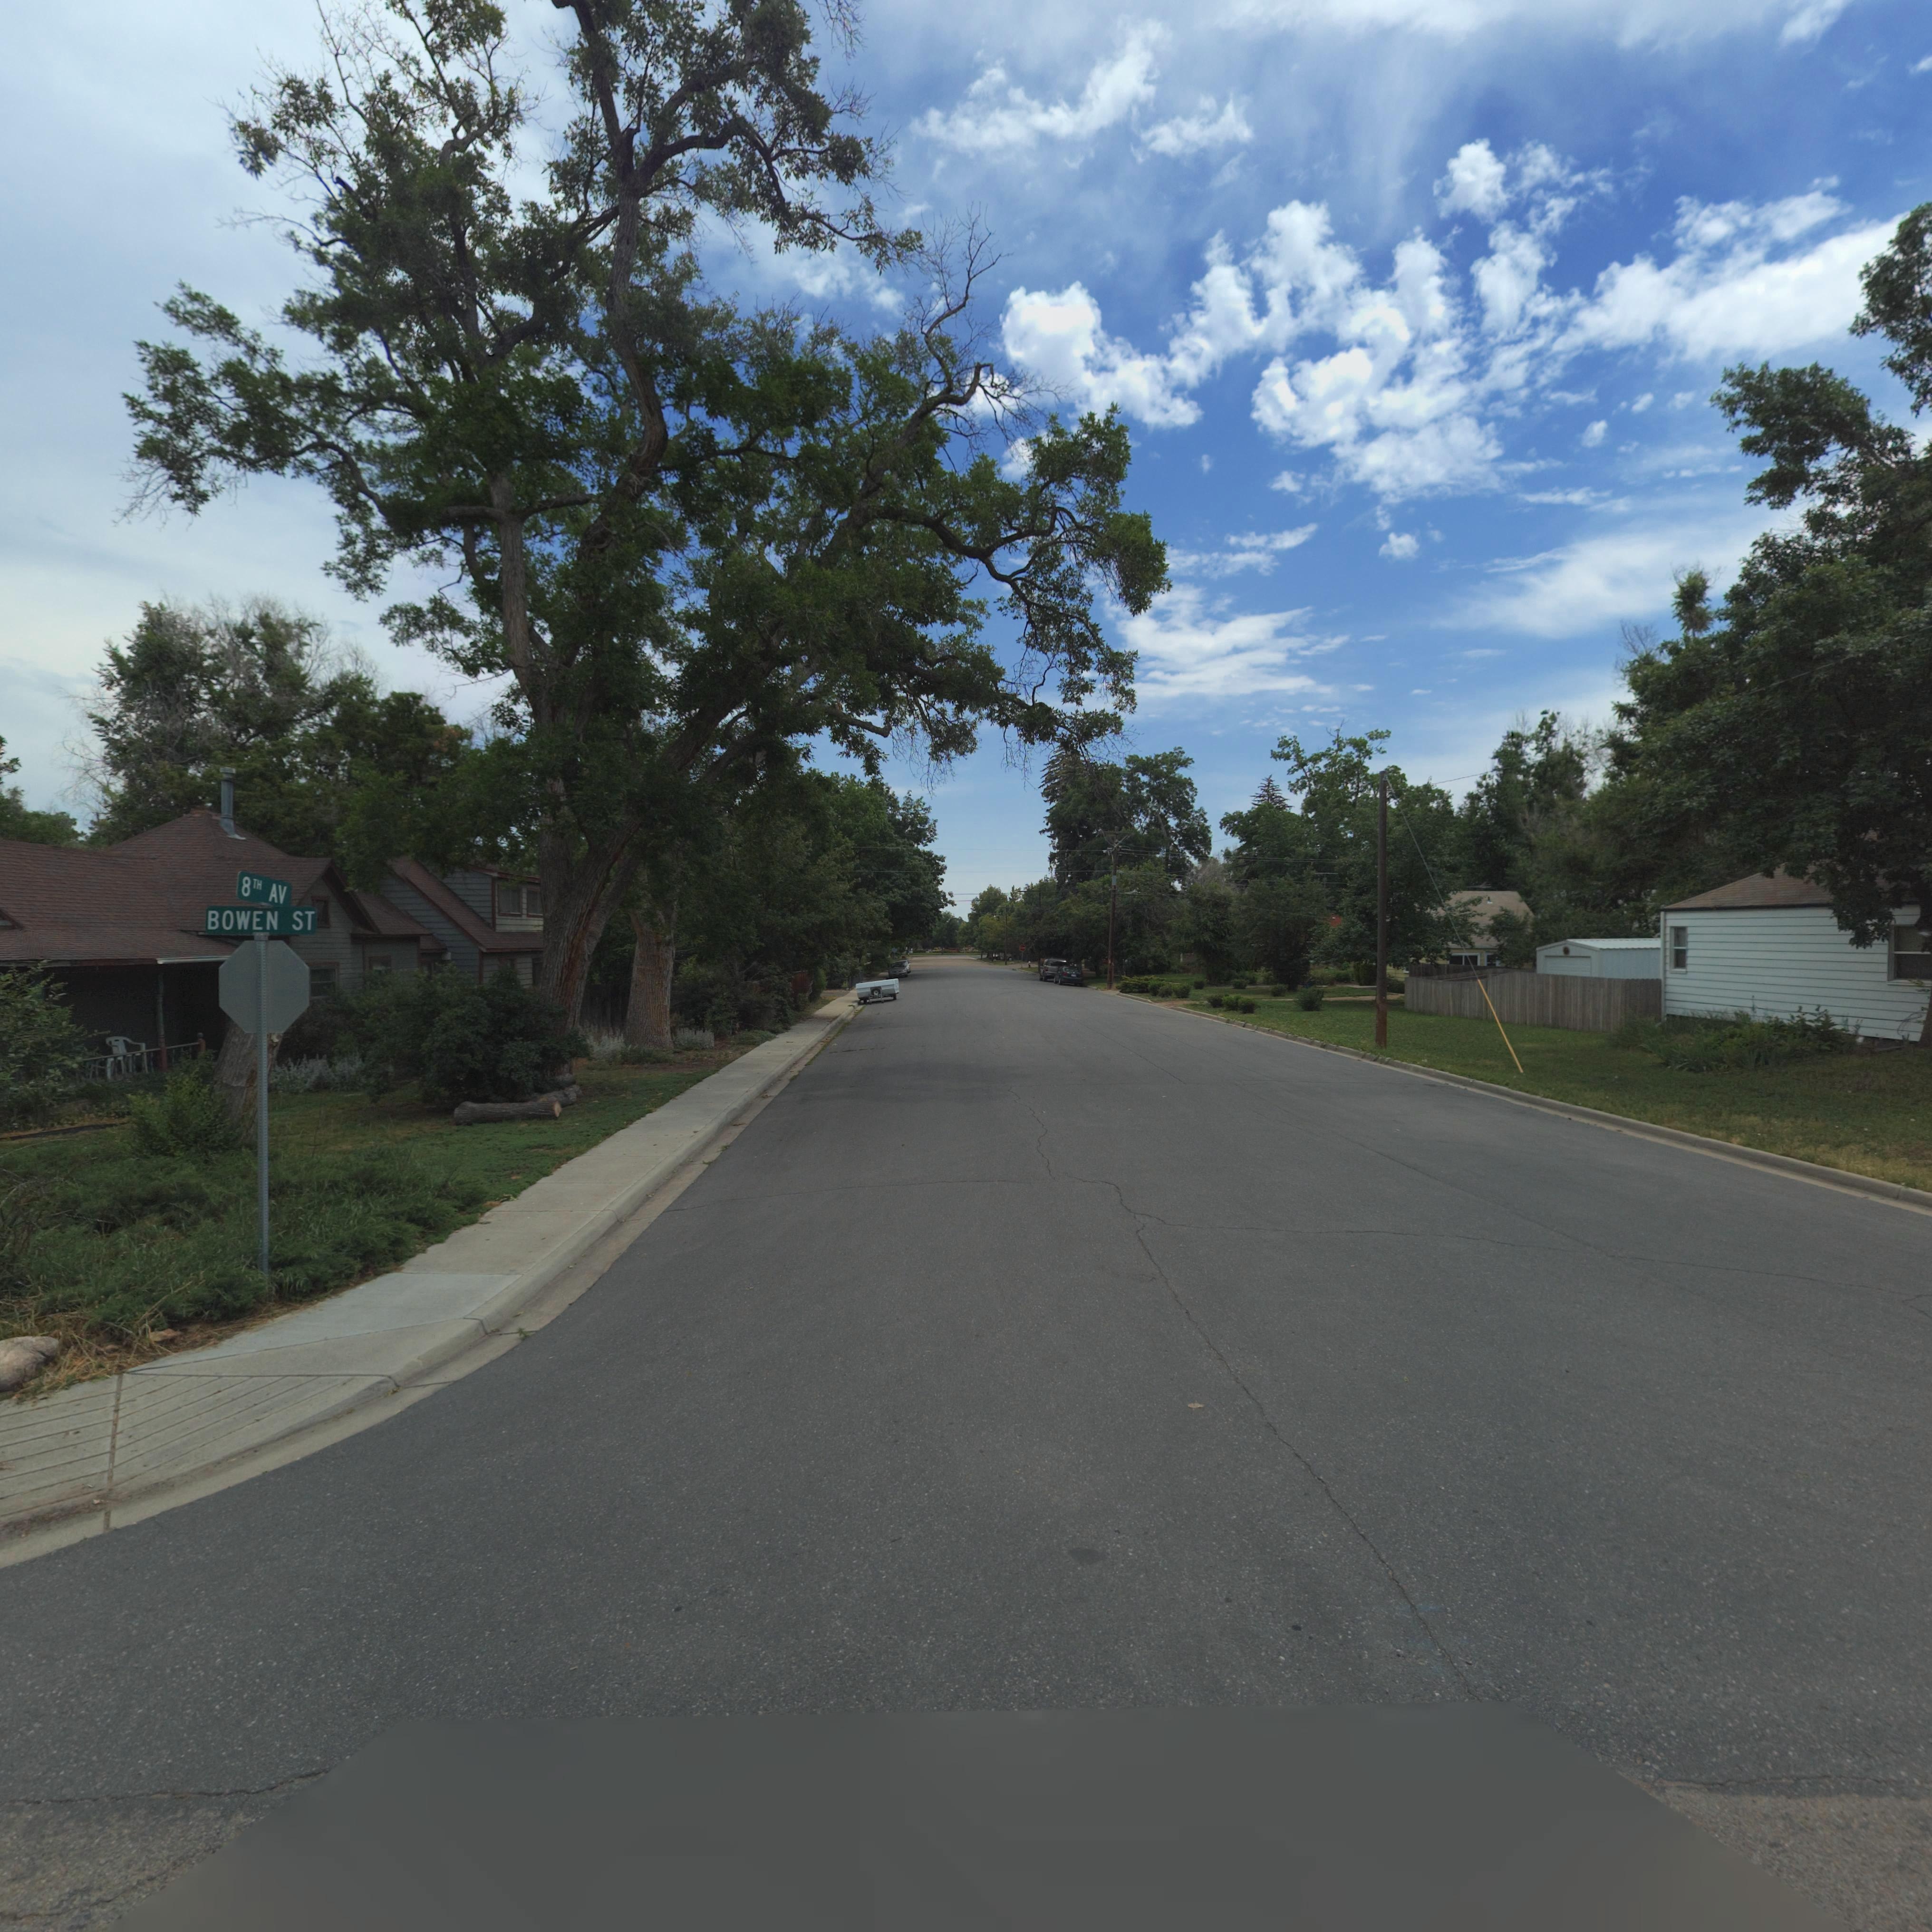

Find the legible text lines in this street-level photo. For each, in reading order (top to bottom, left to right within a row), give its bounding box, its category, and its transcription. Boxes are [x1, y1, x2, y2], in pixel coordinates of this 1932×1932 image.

[241, 876, 287, 905] StreetName: 8TH AV
[207, 910, 314, 930] StreetName: BOWEN ST